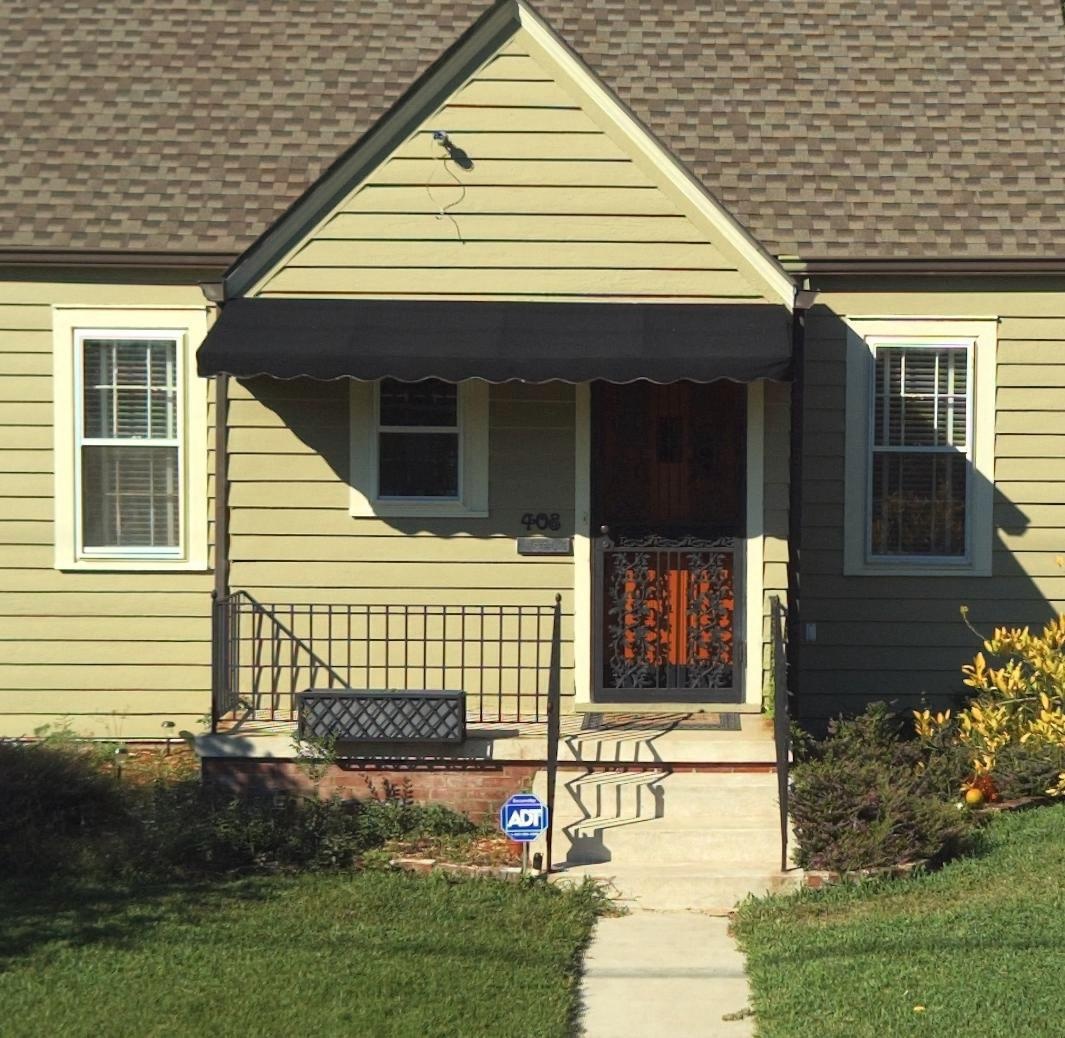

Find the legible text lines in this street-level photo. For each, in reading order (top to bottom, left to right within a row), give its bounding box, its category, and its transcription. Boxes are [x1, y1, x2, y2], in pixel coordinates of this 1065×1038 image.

[519, 511, 563, 533] StreetNumber: 408
[504, 807, 544, 831] None: ADT